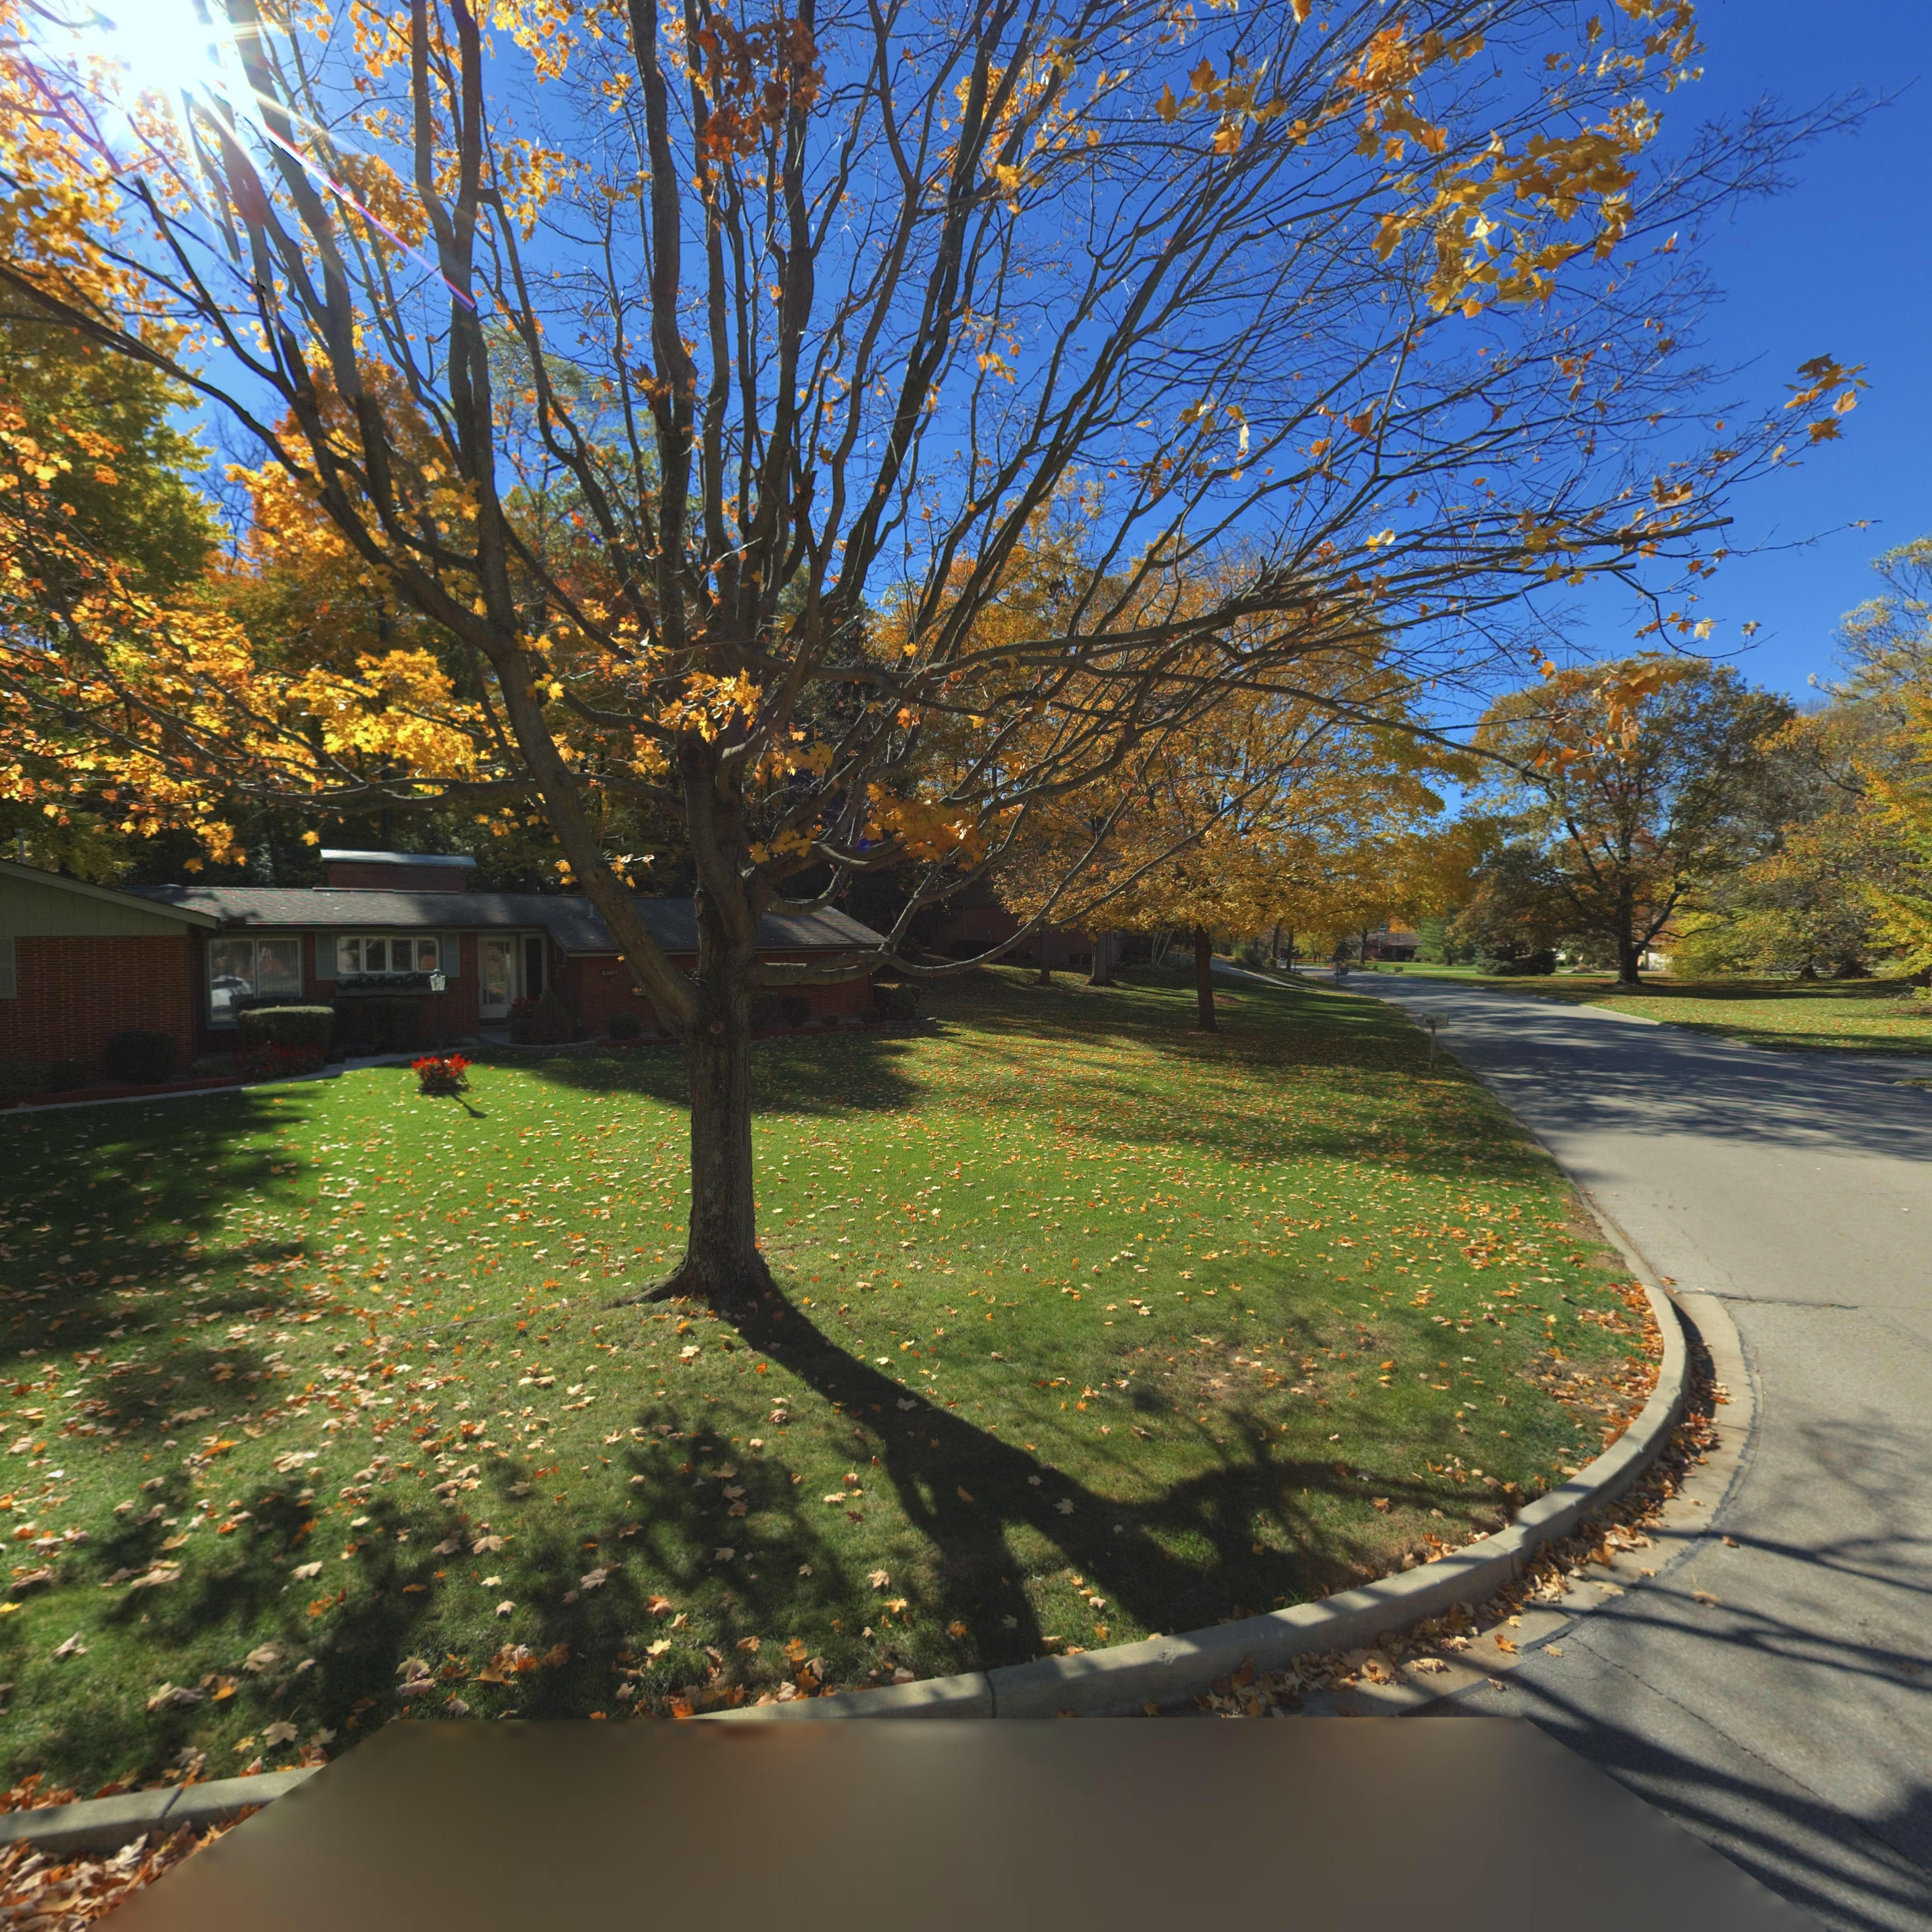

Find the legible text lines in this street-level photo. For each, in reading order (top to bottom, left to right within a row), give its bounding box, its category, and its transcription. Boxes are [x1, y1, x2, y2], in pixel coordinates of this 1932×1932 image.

[600, 970, 618, 976] StreetNumber: 4300